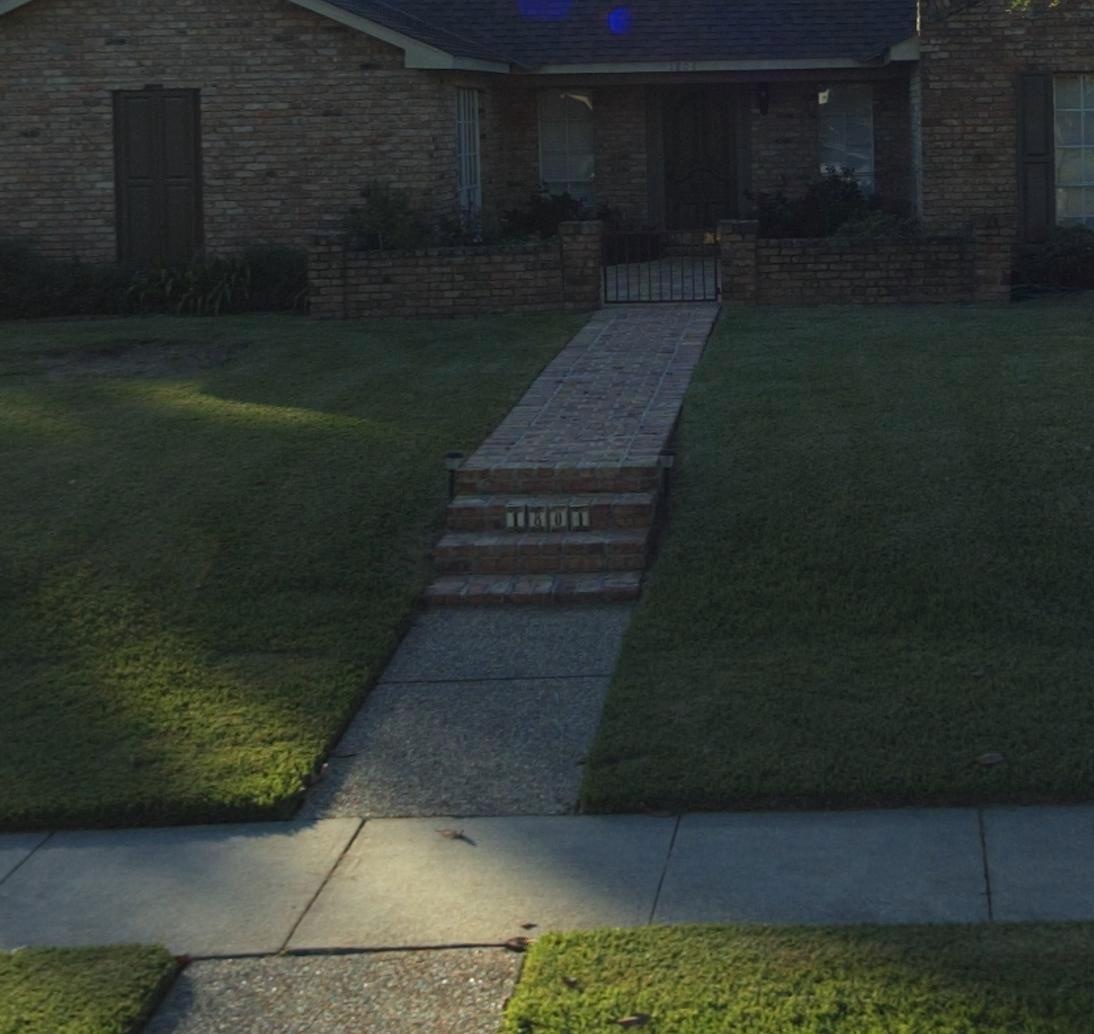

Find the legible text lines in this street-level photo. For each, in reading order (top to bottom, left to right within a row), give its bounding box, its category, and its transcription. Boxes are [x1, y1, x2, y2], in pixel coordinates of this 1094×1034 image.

[666, 60, 698, 72] StreetNumber: 1804
[509, 510, 586, 531] StreetNumber: 1804